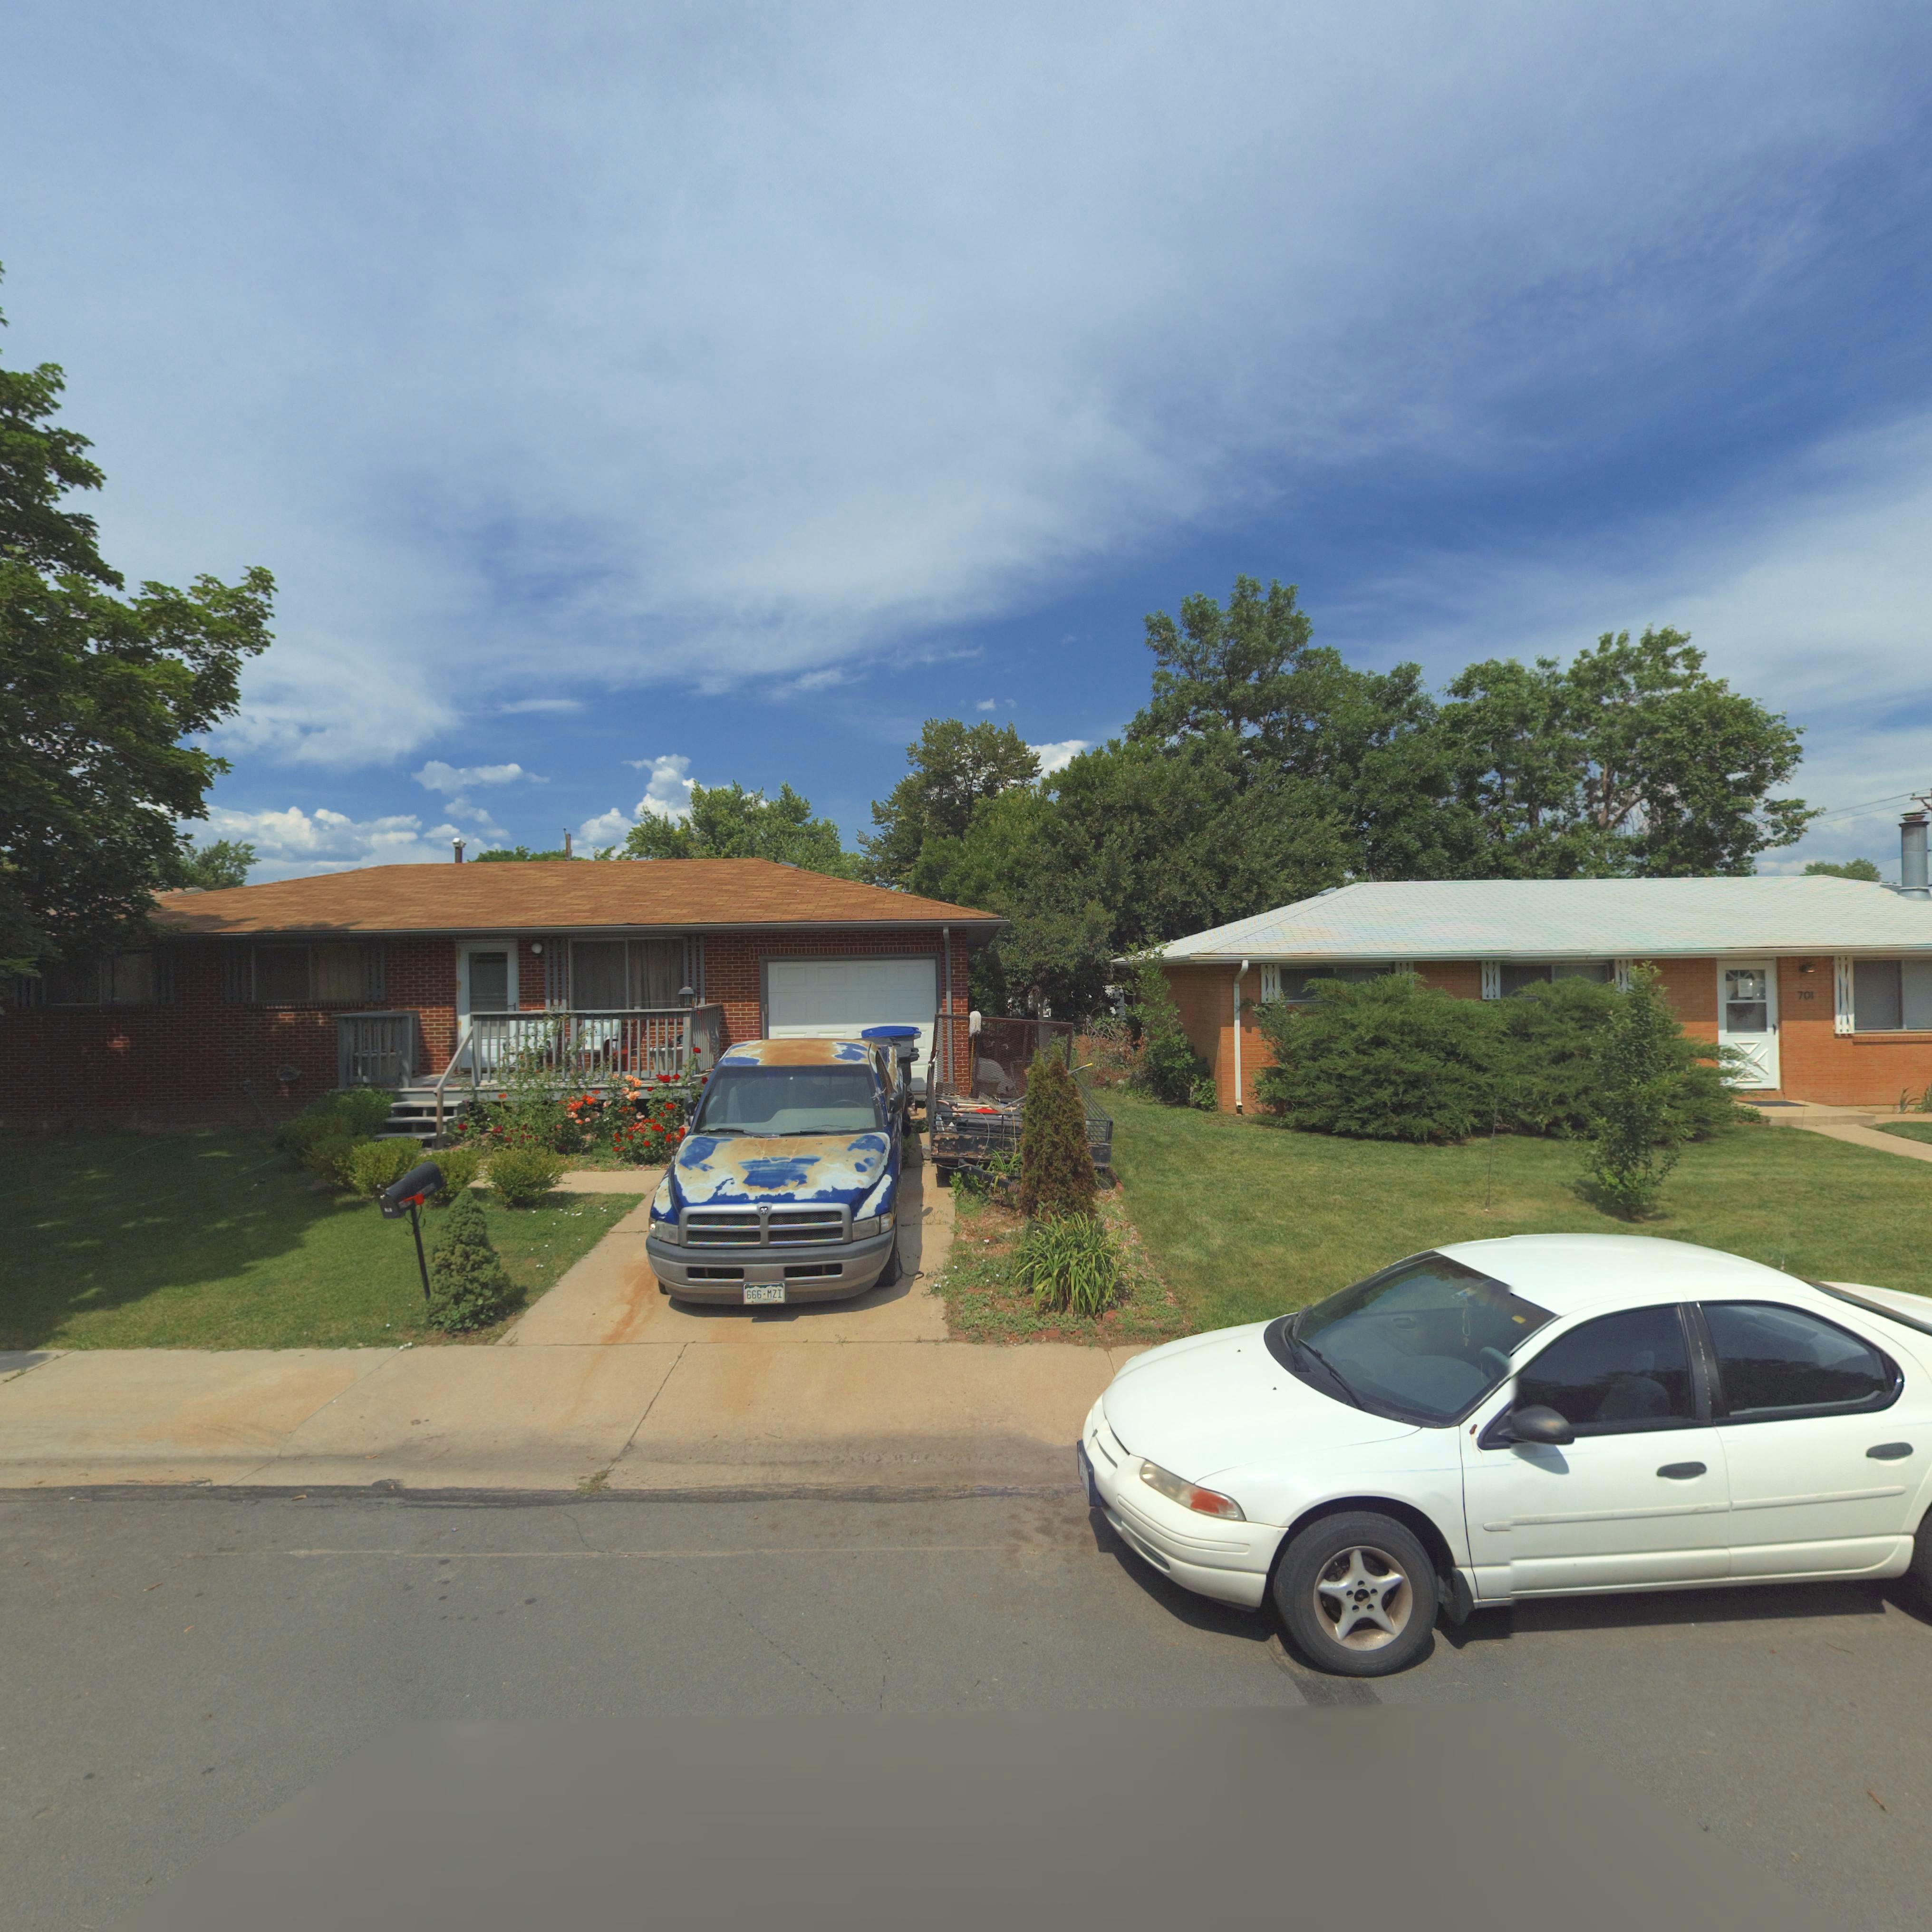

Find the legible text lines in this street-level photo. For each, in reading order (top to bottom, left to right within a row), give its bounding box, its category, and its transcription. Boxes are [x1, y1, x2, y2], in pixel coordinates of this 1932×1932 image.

[1796, 991, 1814, 1000] StreetNumber: 701